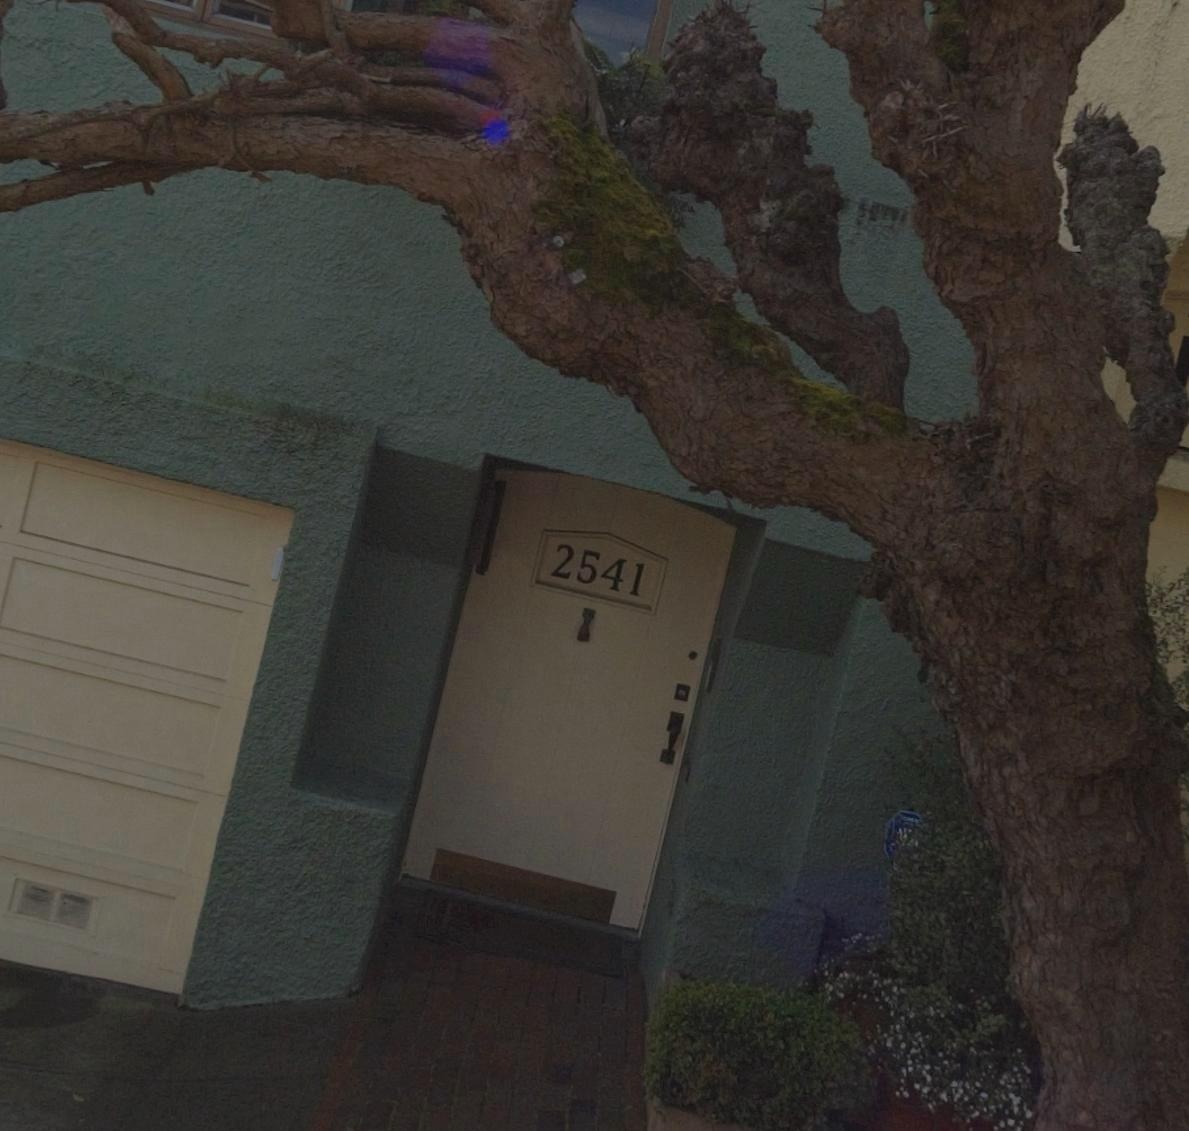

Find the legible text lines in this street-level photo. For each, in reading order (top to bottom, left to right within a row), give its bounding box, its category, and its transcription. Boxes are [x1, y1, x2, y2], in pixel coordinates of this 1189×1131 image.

[547, 542, 649, 600] StreetNumber: 2541